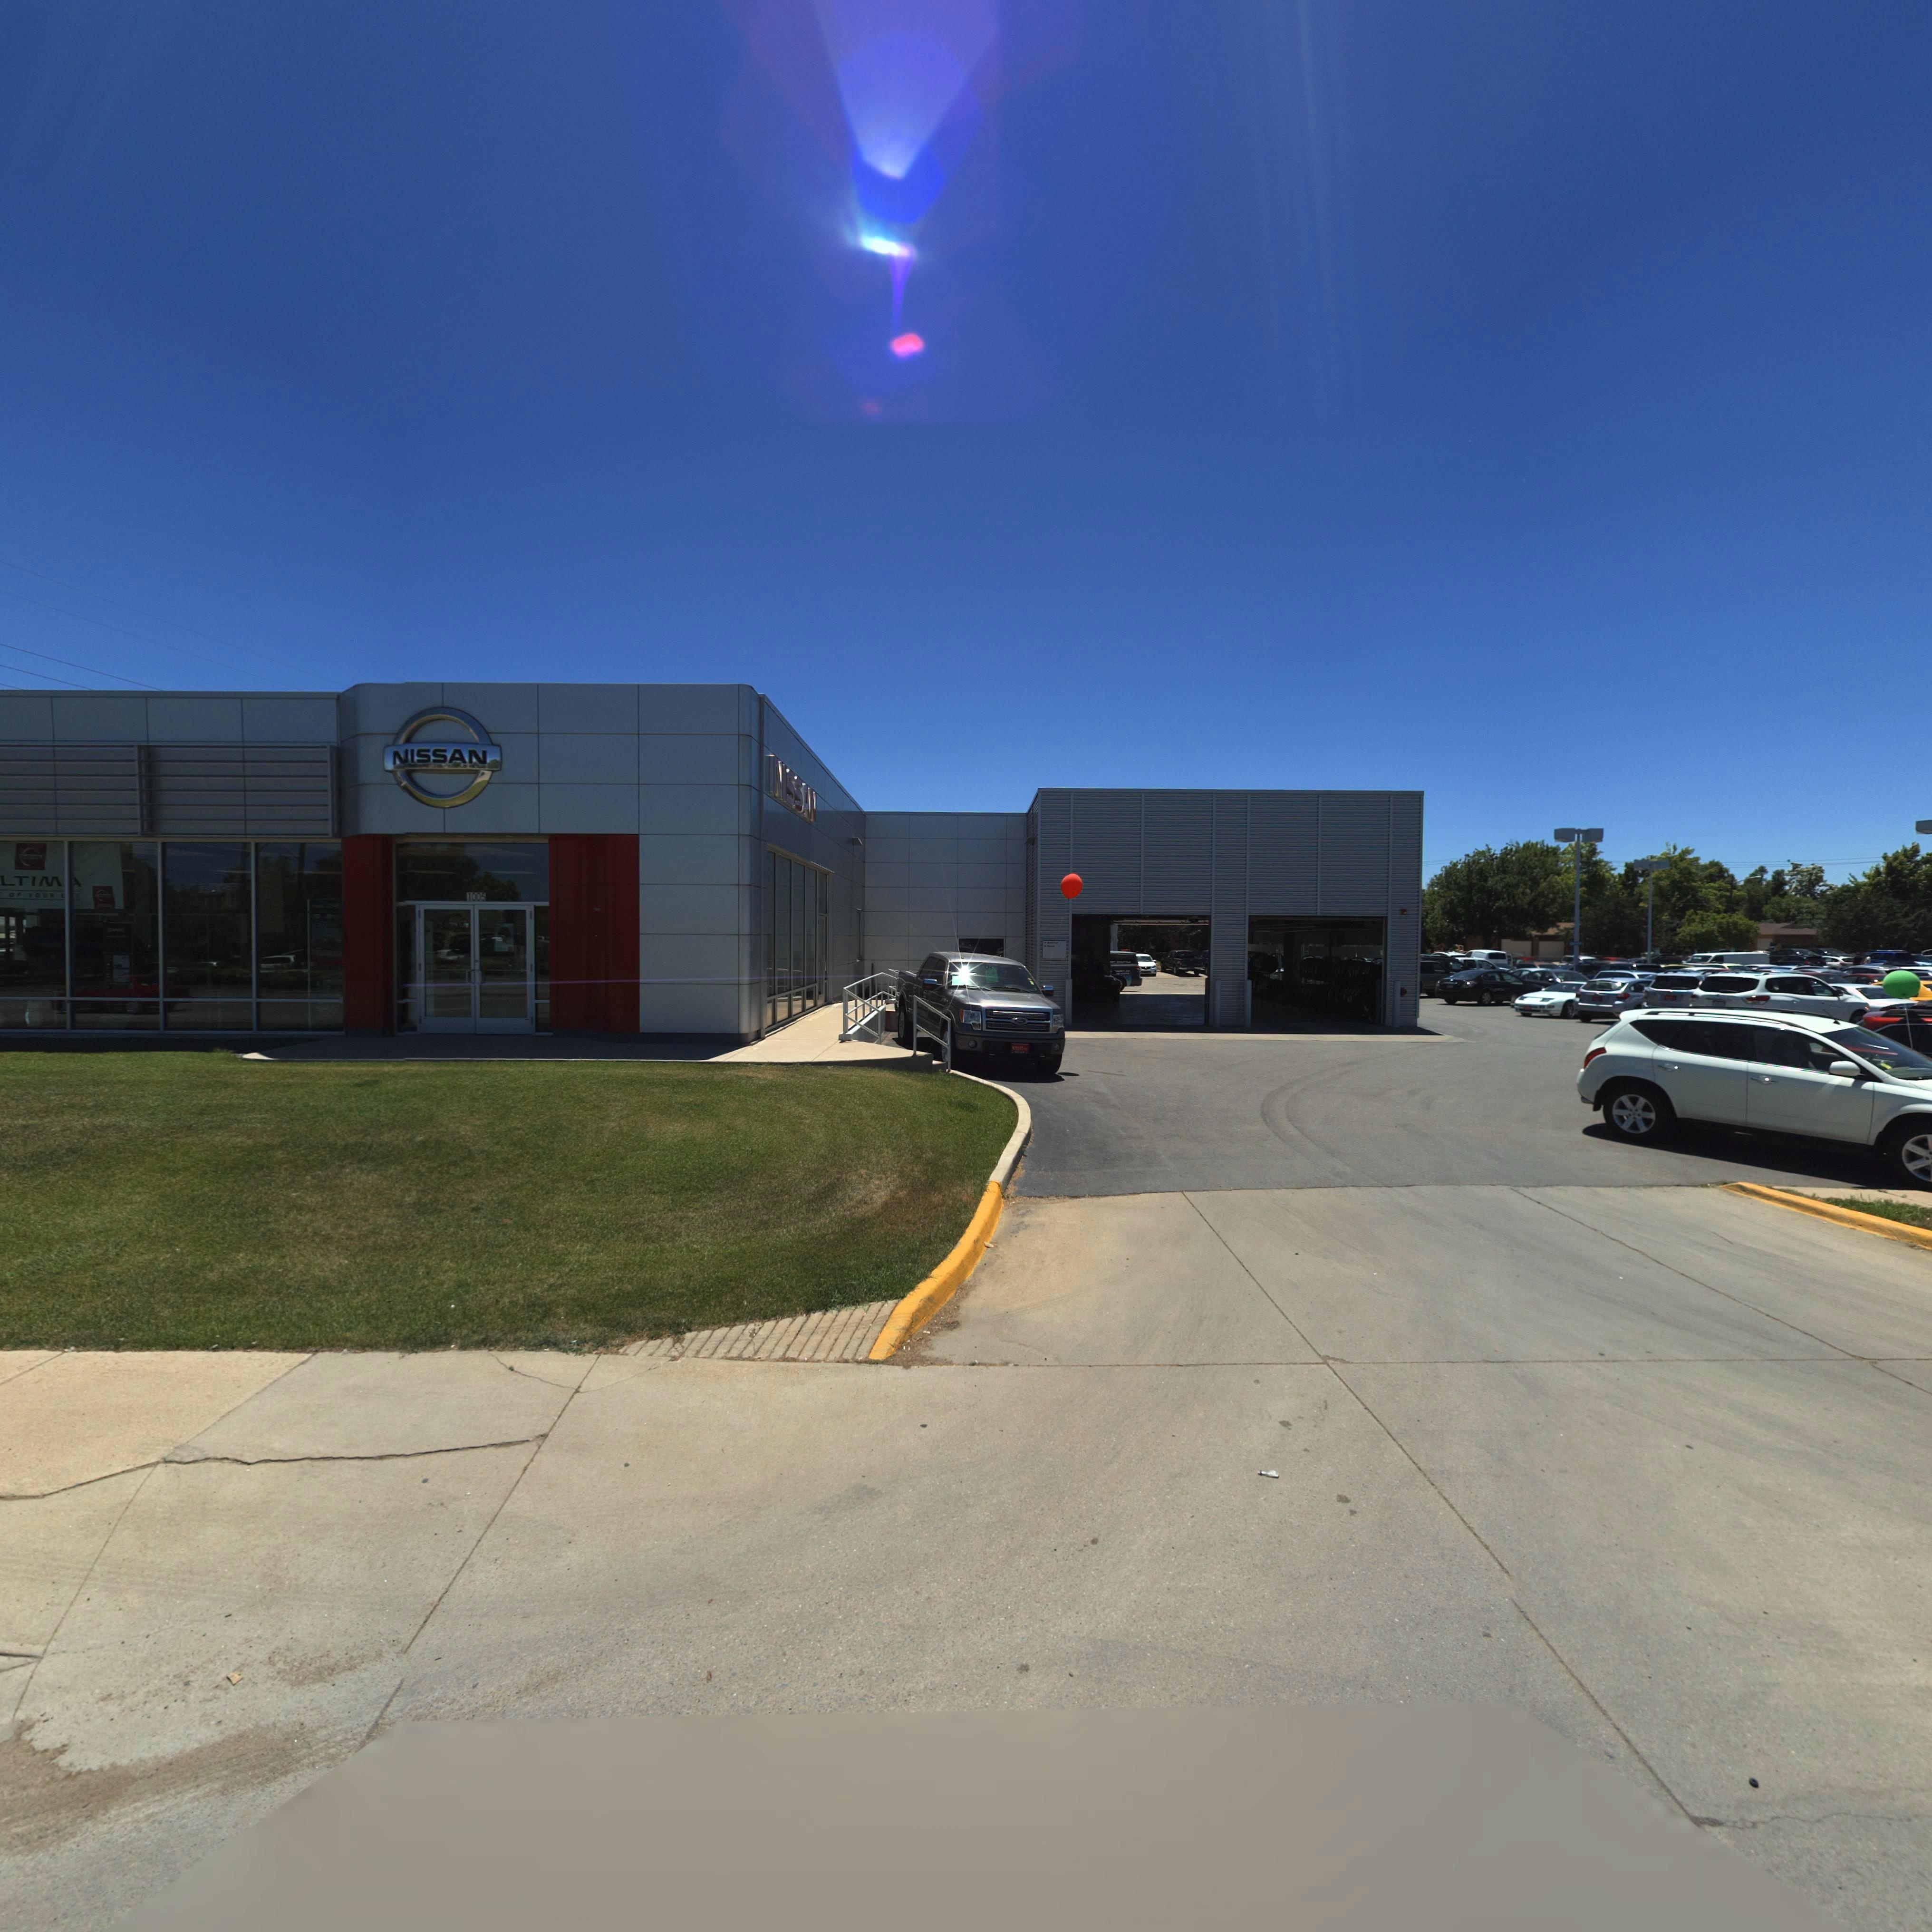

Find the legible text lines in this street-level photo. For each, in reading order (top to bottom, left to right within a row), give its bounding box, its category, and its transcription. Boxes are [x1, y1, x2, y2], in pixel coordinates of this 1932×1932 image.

[391, 746, 489, 767] BusinessName: NISSAN
[769, 752, 818, 824] BusinessName: NISSAN
[467, 892, 486, 902] StreetNumber: 1005